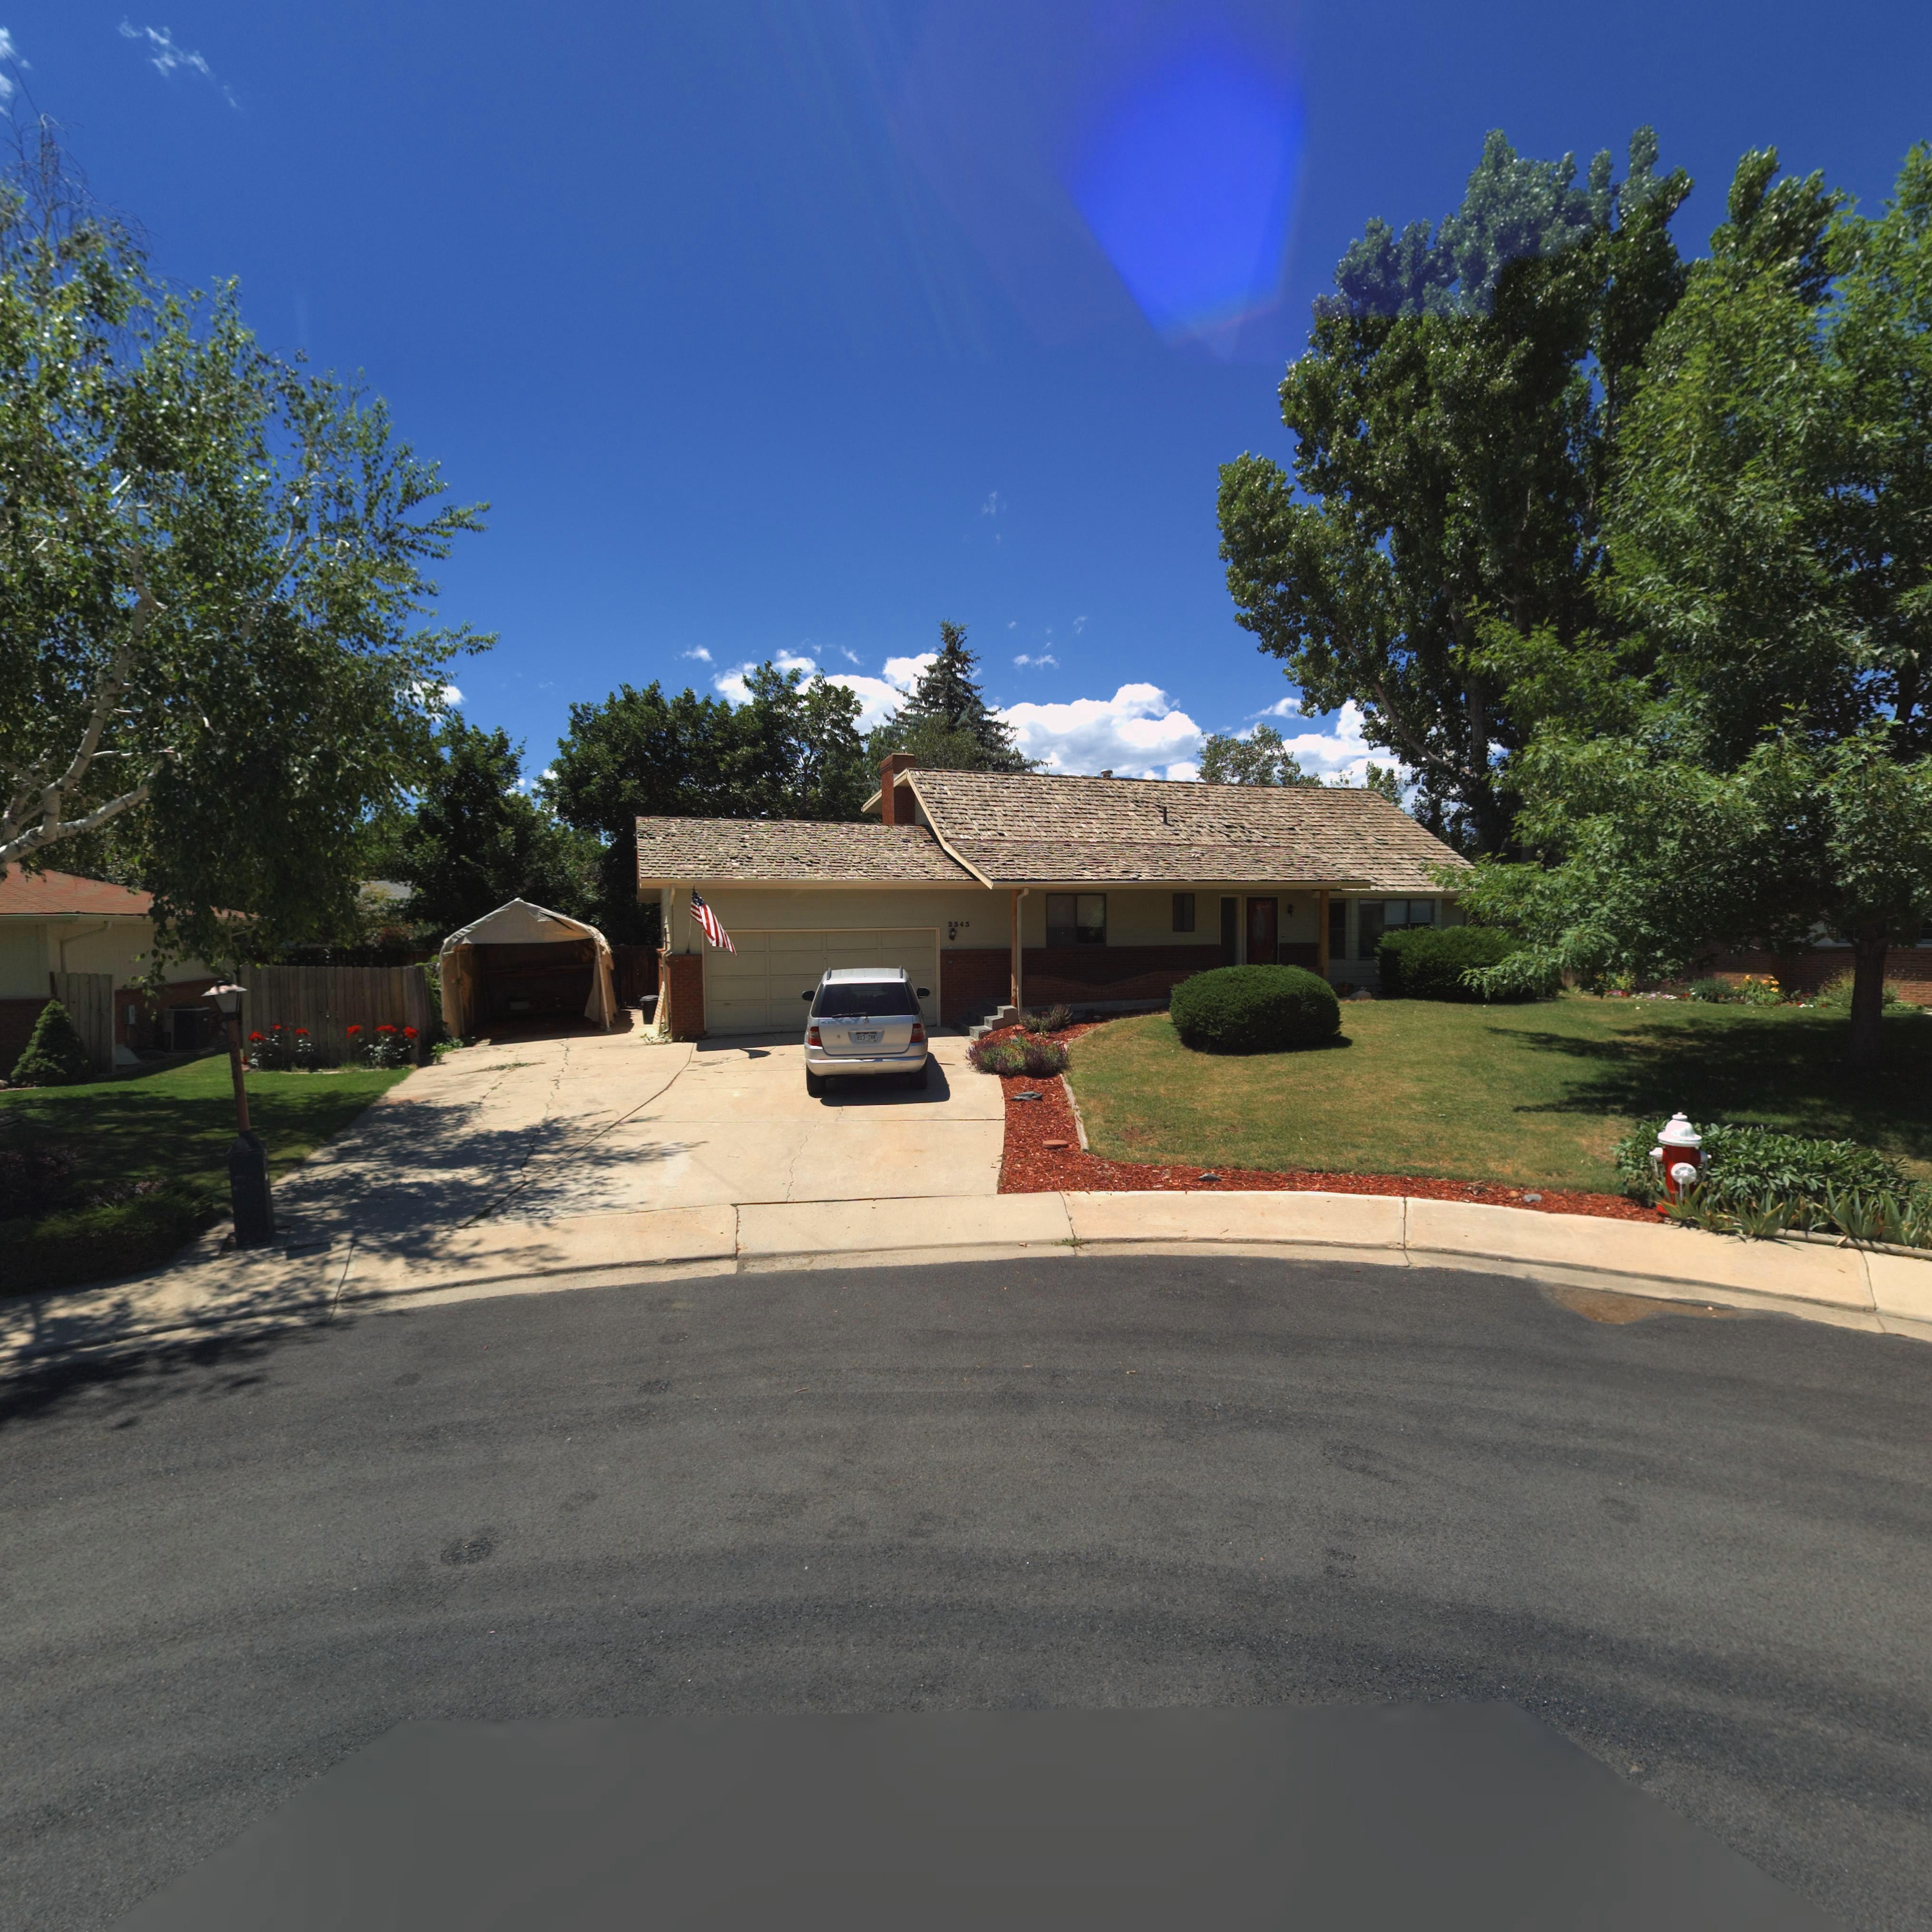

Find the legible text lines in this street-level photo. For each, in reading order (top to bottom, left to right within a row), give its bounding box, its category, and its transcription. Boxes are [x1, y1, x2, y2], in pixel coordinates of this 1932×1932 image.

[948, 921, 970, 927] StreetNumber: 2343